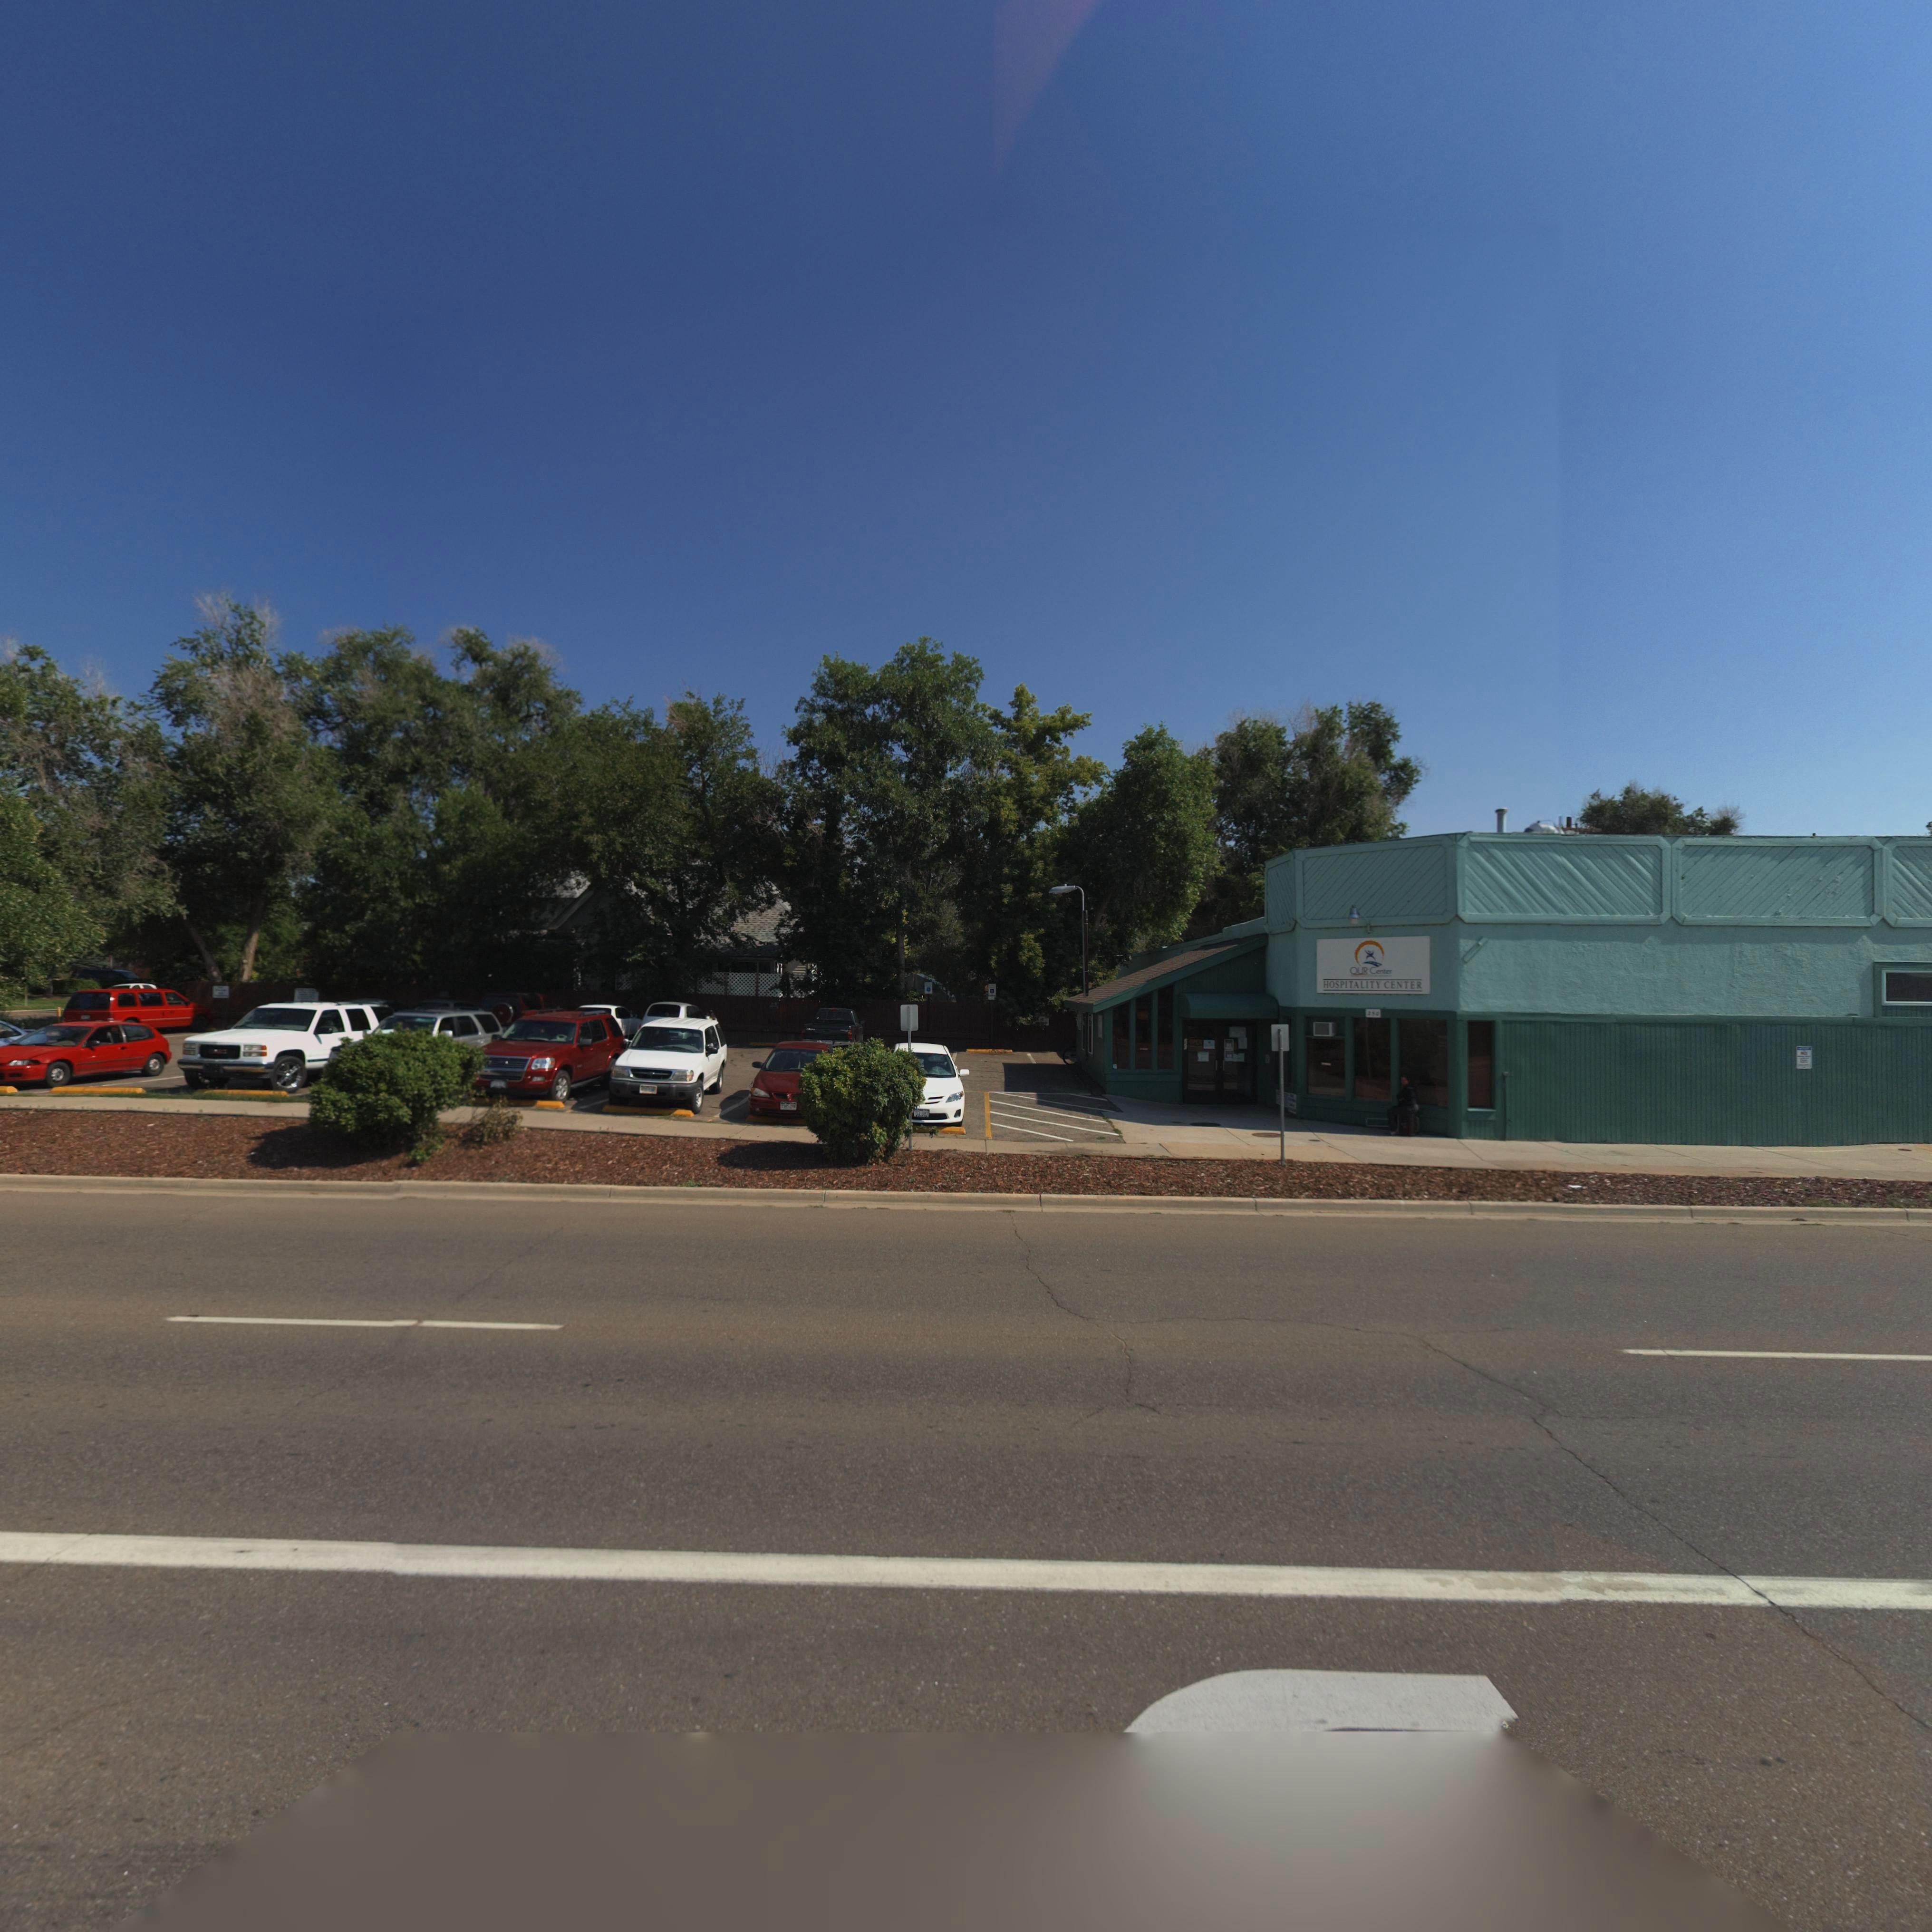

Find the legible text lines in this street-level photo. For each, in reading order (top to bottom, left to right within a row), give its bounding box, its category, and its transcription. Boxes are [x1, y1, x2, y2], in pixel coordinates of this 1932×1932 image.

[1349, 966, 1392, 974] BusinessName: OUR Center
[1323, 980, 1422, 989] BusinessName: HOSPITALITY CENTER
[1367, 1010, 1379, 1016] StreetNumber: *50